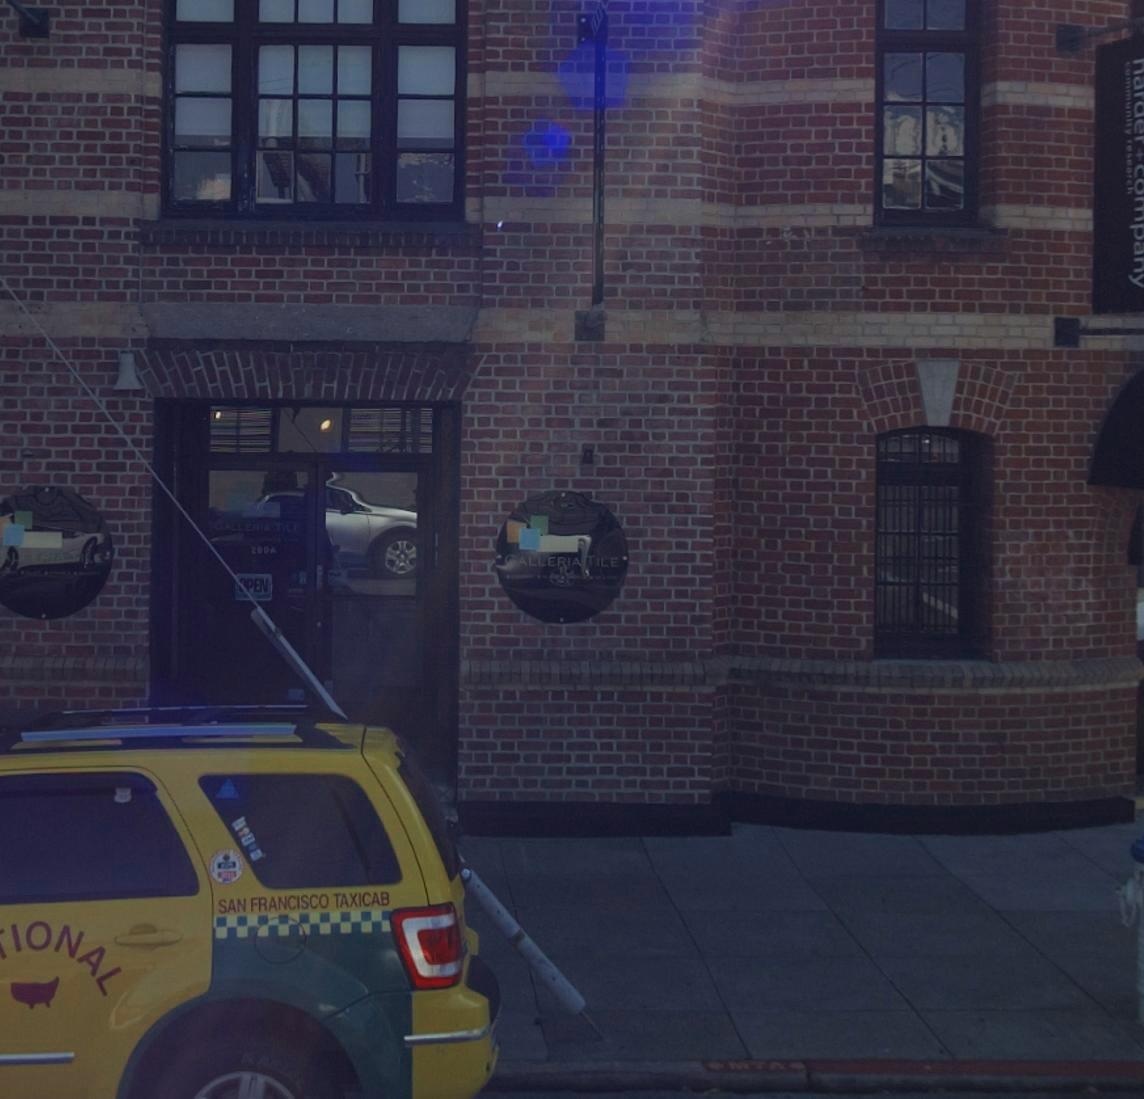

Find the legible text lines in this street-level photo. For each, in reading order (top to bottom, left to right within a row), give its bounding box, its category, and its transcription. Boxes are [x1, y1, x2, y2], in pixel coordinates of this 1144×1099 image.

[214, 521, 302, 534] None: GALLERIA TILE
[250, 544, 279, 555] None: 200A
[503, 553, 619, 568] BusinessName: GALLERIA TILE
[237, 577, 269, 593] None: *PEN
[316, 564, 323, 590] None: PULL
[217, 890, 391, 915] None: SAN FRANCISCO TAXICAB
[10, 919, 124, 1000] None: IONAL